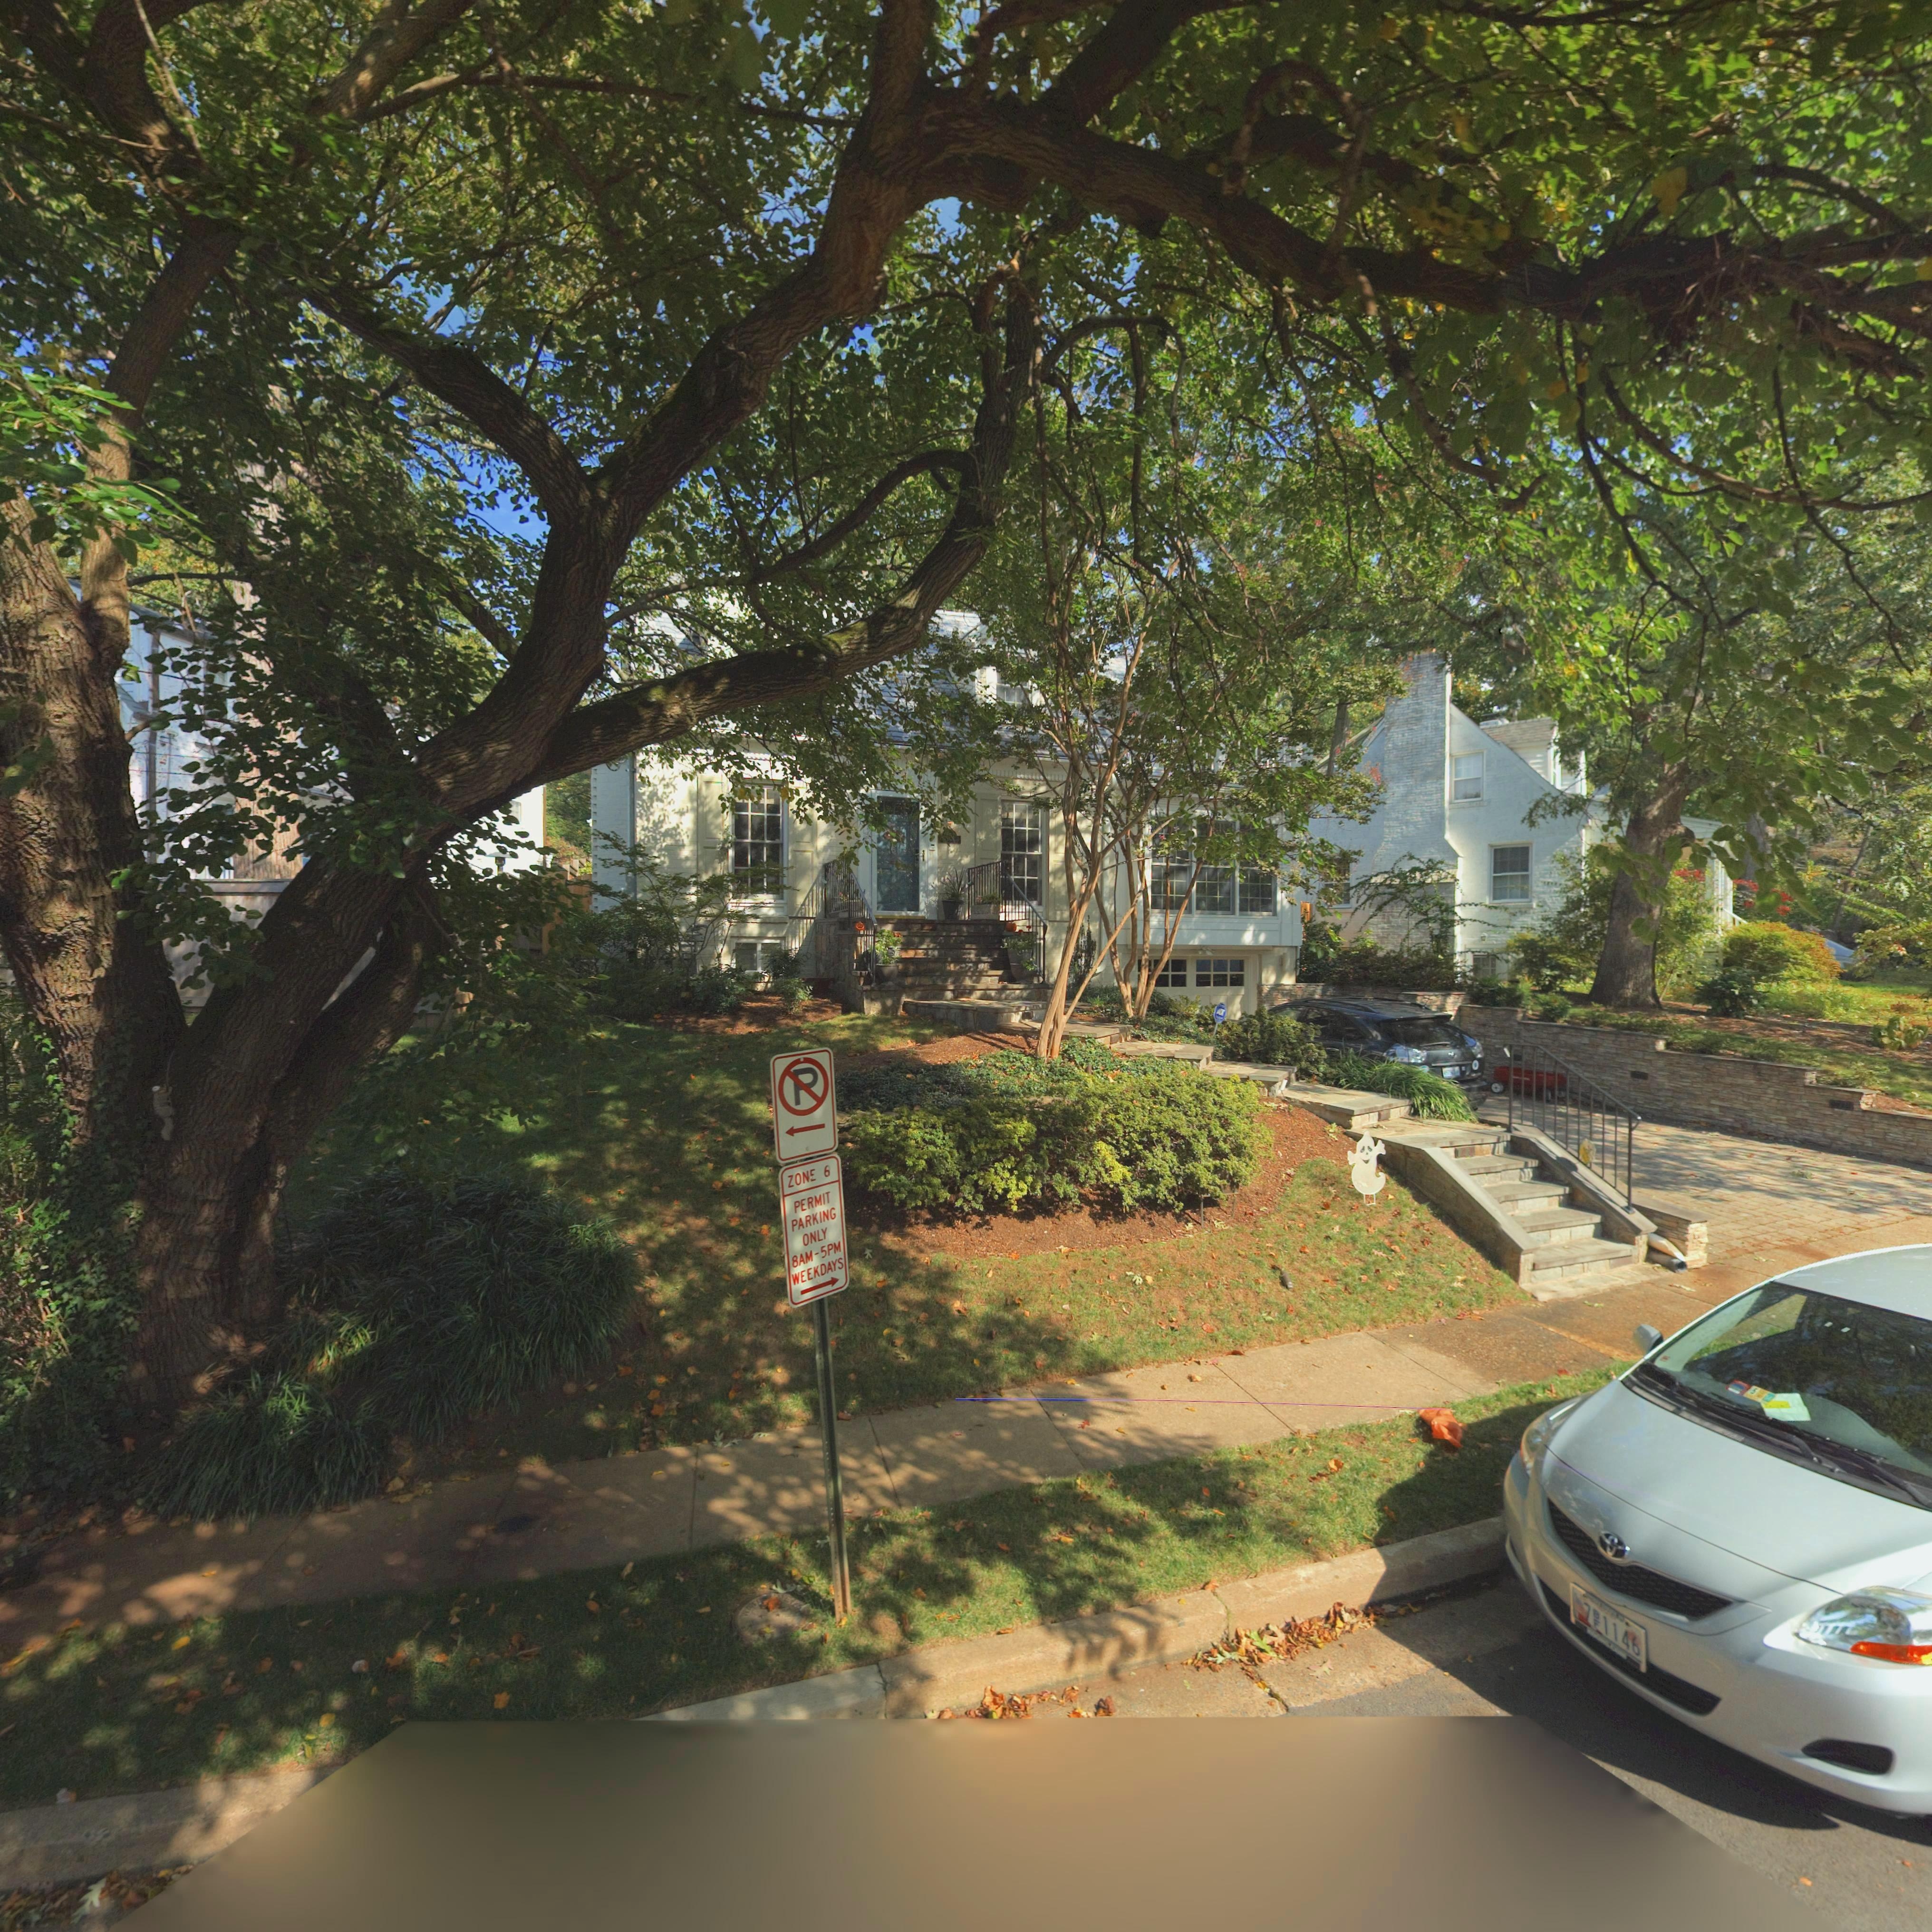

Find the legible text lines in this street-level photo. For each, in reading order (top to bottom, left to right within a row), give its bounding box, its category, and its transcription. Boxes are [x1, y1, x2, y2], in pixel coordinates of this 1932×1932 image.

[785, 1163, 832, 1189] None: ZONE 6
[792, 1188, 832, 1215] None: PERMIT
[790, 1206, 838, 1234] None: PARKING
[801, 1225, 829, 1248] None: ONLY
[791, 1238, 843, 1270] None: 8AM-5PM
[790, 1255, 846, 1288] None: WEEKDAYS
[1581, 1598, 1593, 1626] None: 7
[1591, 1605, 1602, 1631] None: BF
[1601, 1611, 1643, 1660] None: 1146